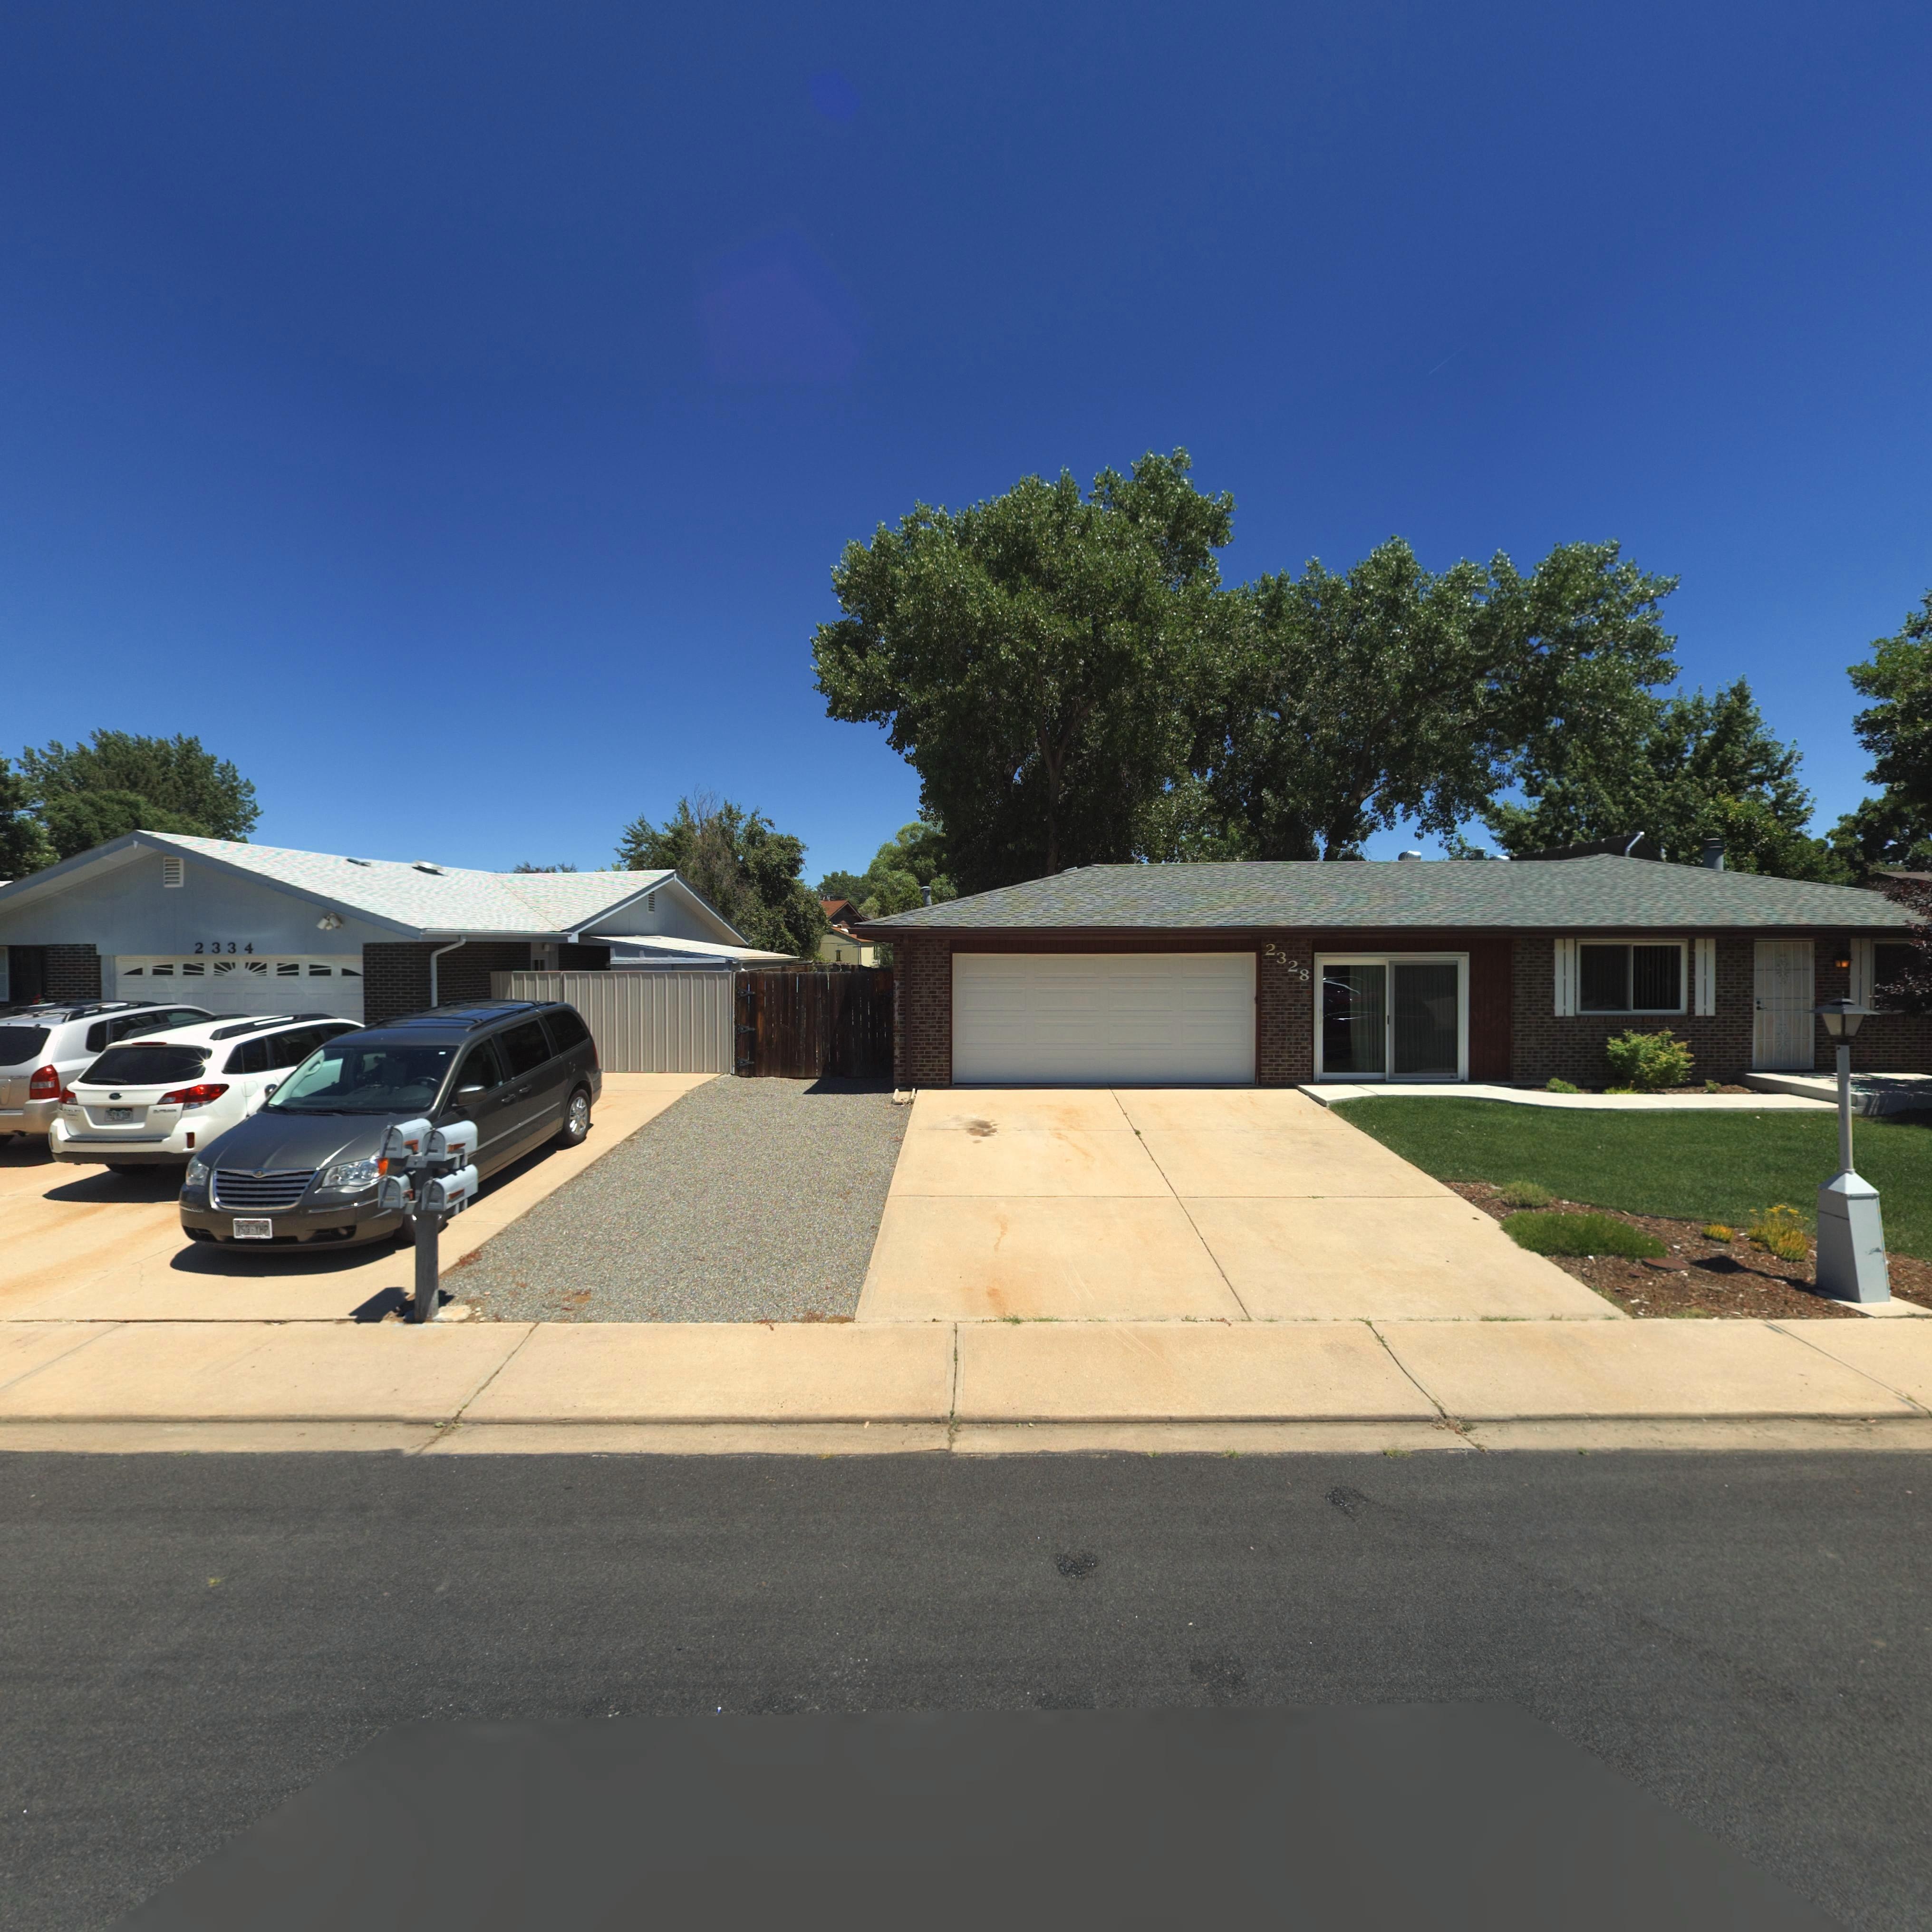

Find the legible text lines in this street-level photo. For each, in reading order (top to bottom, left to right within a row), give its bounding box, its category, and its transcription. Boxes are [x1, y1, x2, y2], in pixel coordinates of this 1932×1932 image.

[194, 942, 253, 954] StreetNumber: 2334
[1265, 943, 1309, 981] StreetNumber: 2328